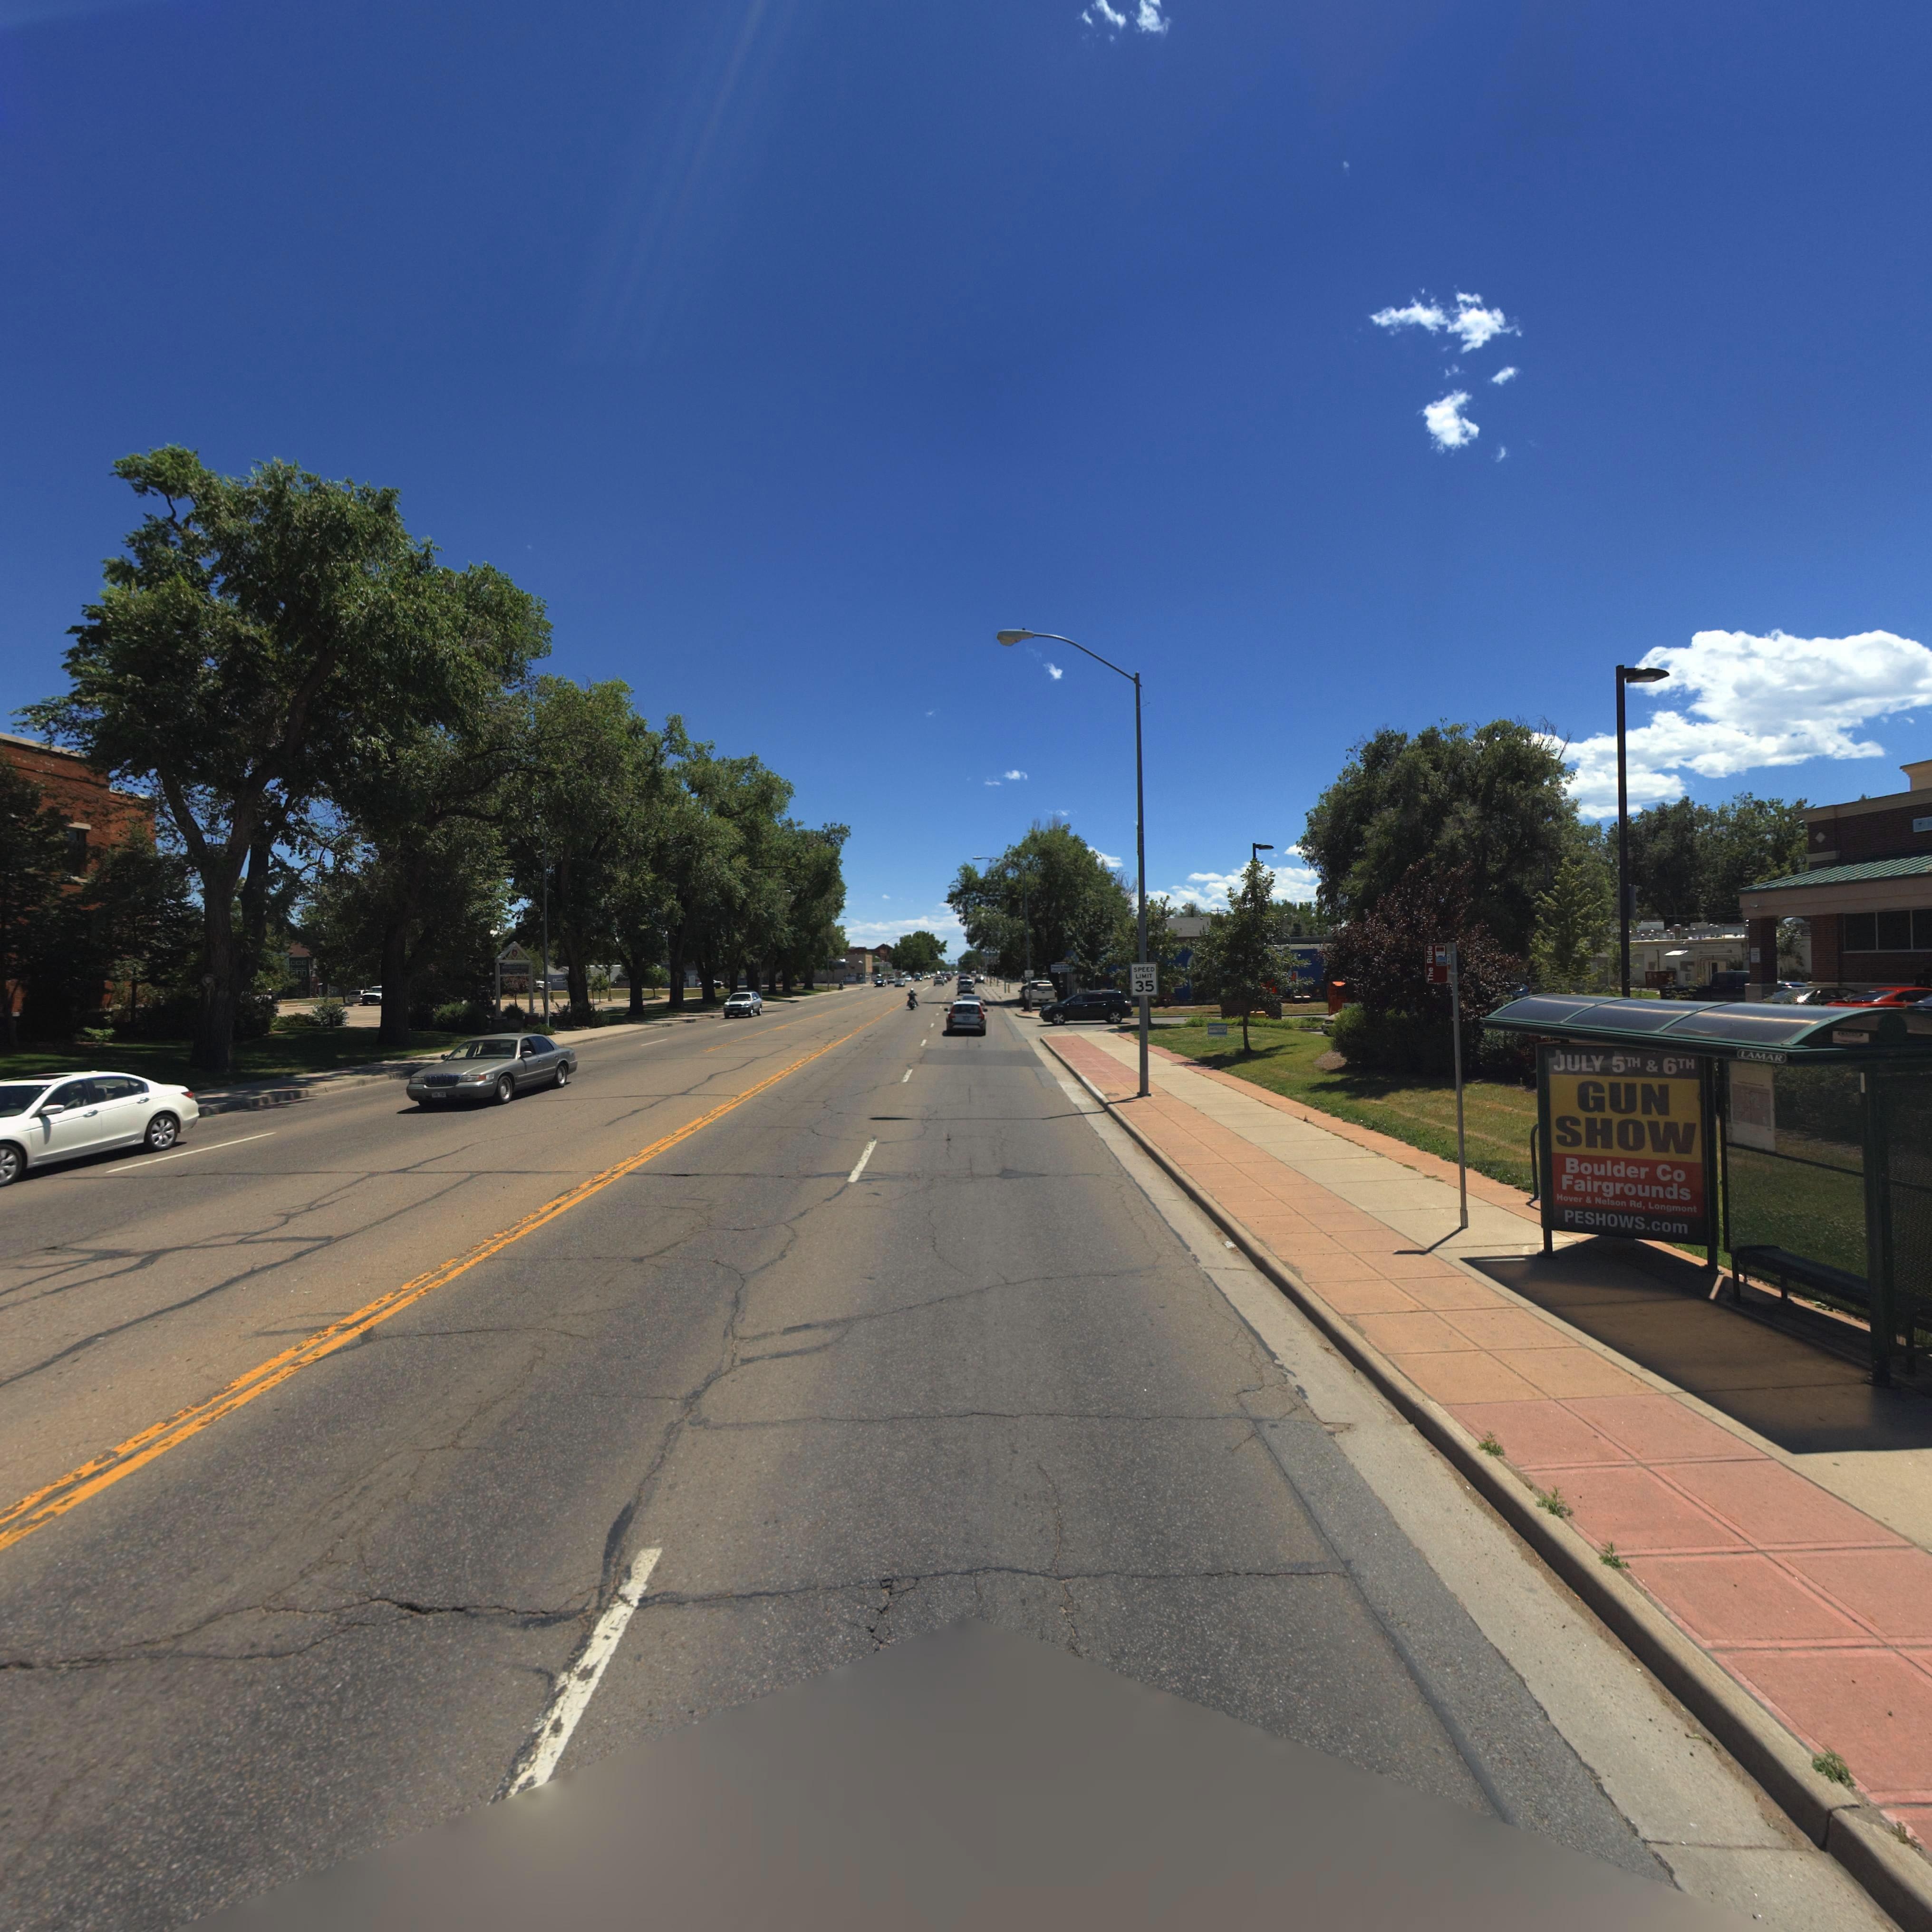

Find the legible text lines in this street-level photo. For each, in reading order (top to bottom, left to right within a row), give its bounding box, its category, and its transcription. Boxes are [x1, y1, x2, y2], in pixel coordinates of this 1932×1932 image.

[1052, 965, 1073, 968] BusinessName: Paws & Cl*